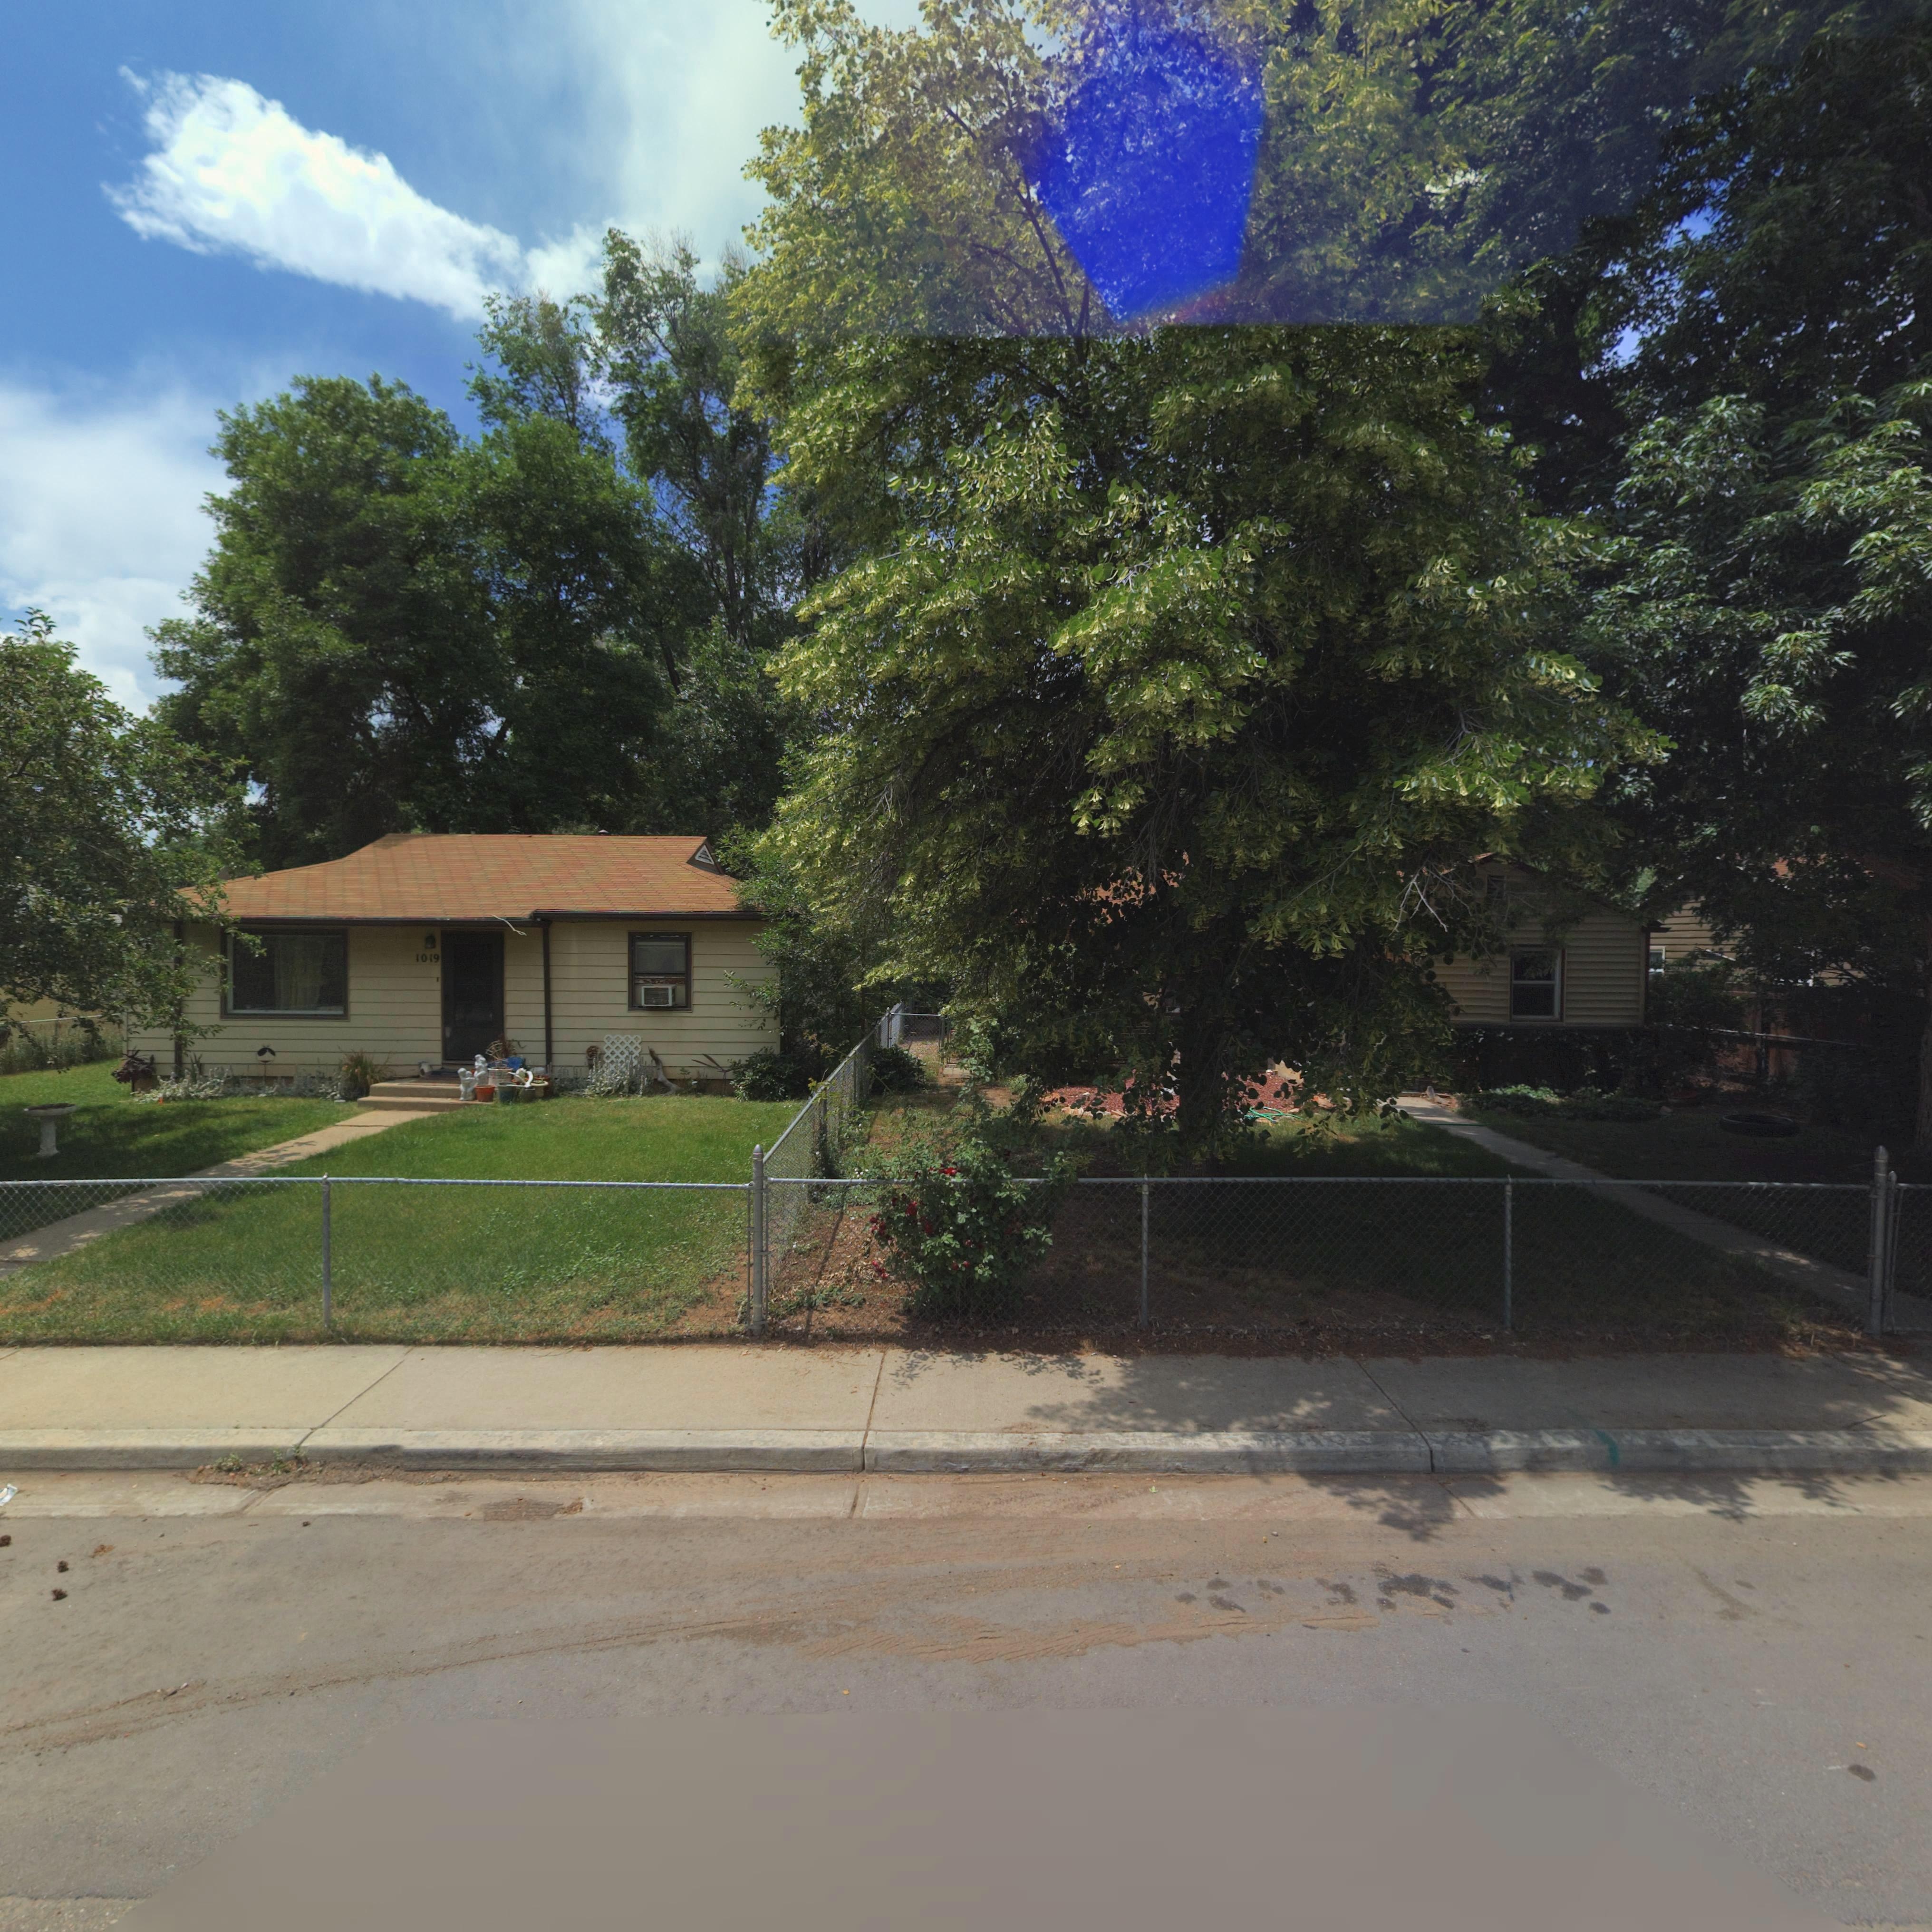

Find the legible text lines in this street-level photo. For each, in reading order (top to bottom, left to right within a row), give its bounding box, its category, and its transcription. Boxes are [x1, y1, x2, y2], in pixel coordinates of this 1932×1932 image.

[415, 953, 440, 963] StreetNumber: 1019